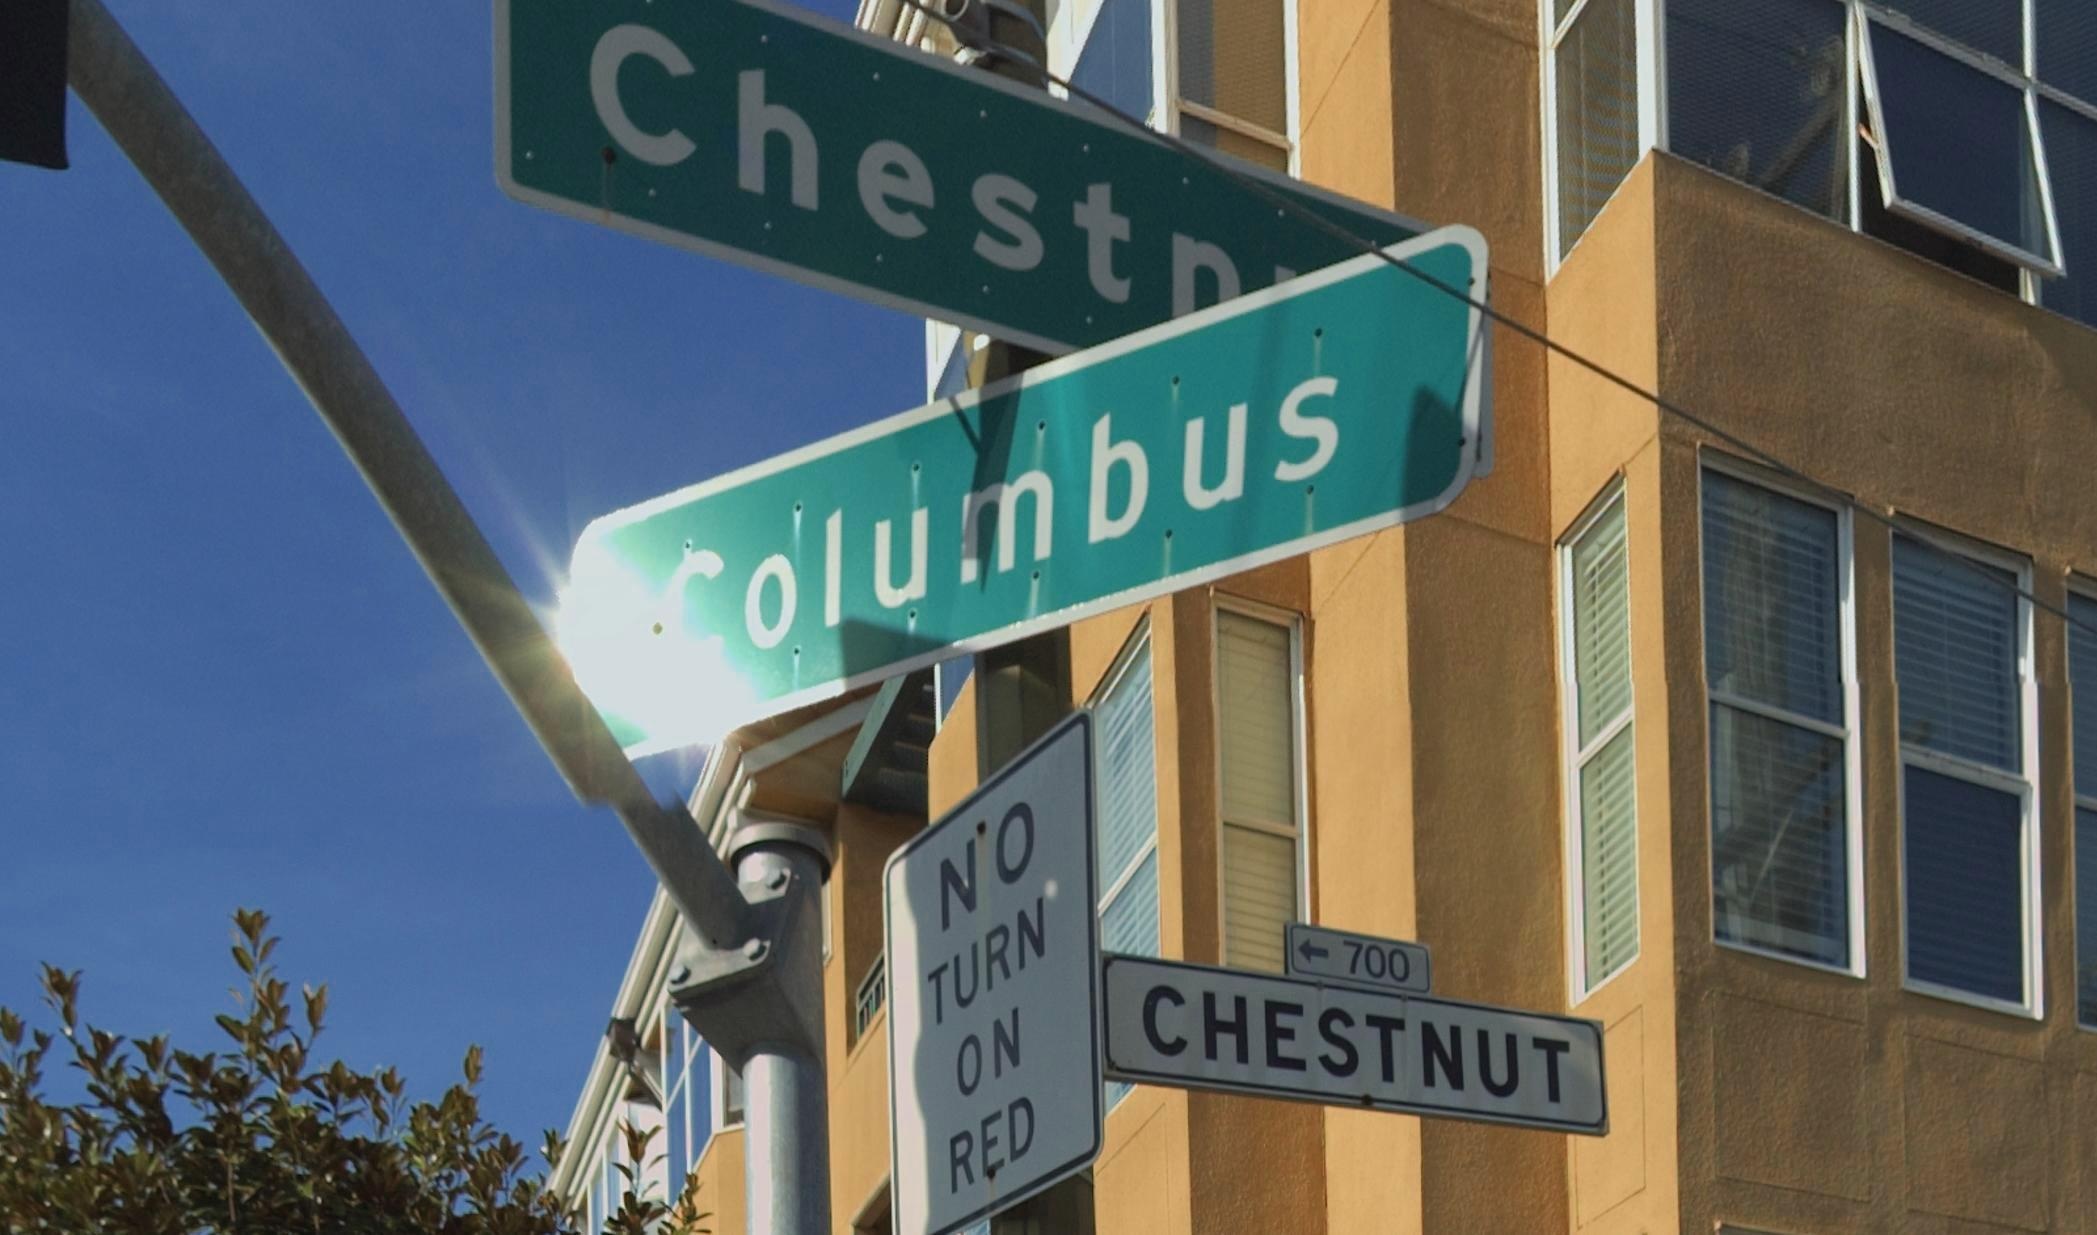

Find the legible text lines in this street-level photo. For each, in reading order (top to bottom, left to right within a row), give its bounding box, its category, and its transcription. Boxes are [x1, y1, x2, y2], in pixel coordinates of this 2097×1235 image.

[577, 10, 1143, 315] StreetName: Chest
[649, 360, 1346, 700] StreetName: Columbus
[936, 796, 1040, 938] None: NO
[924, 885, 1051, 1030] None: TURN
[1290, 932, 1420, 989] StreetNumberRange: <-700
[951, 998, 1024, 1102] None: ON
[1135, 974, 1576, 1111] StreetName: CHESTNUT
[945, 1093, 1040, 1199] None: RED